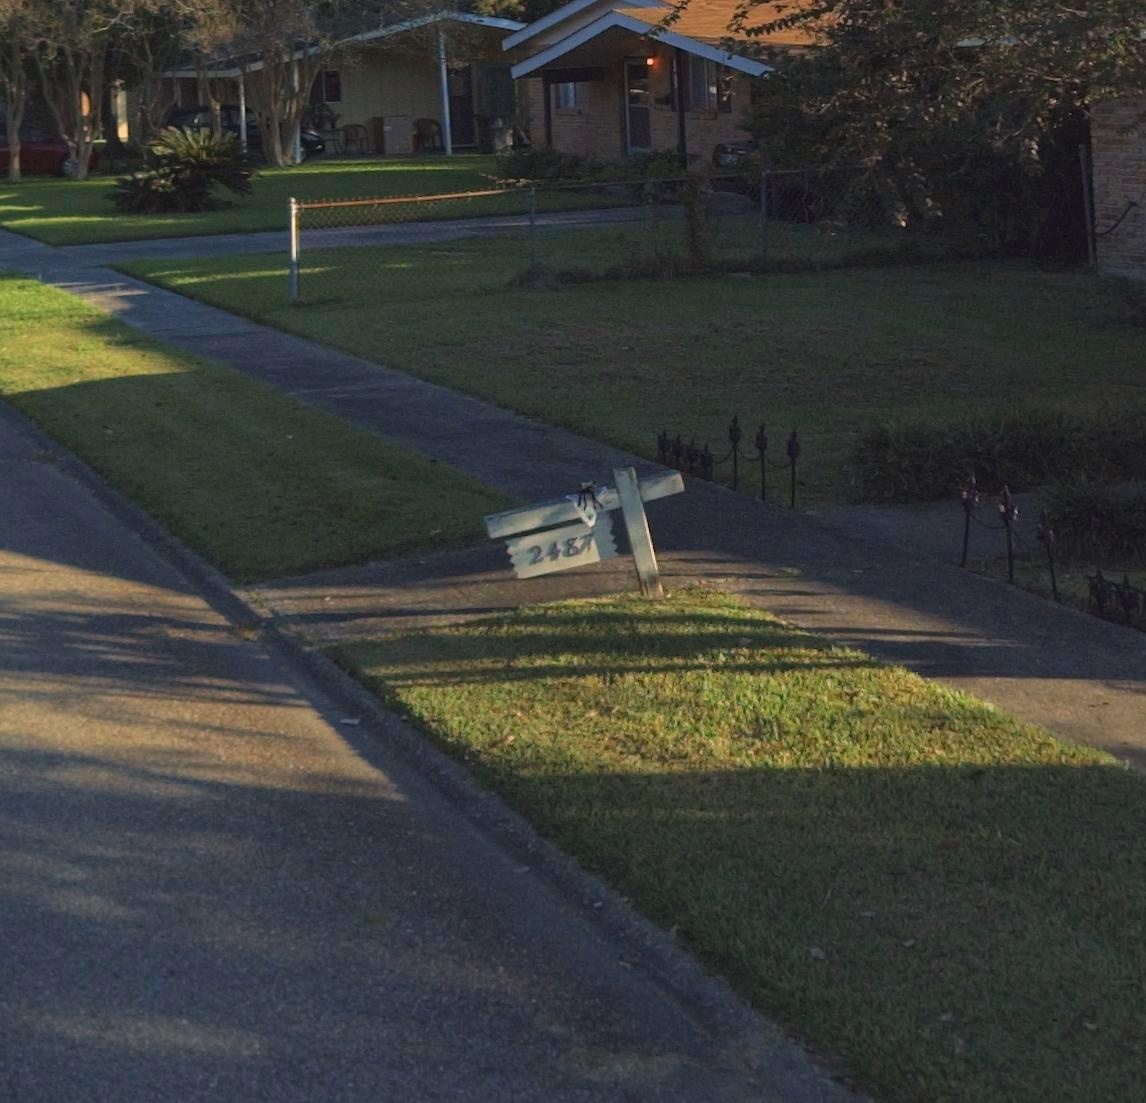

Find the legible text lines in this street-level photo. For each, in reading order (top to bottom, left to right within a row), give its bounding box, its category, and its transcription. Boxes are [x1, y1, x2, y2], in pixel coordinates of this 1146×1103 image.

[525, 528, 598, 568] StreetNumber: 2487